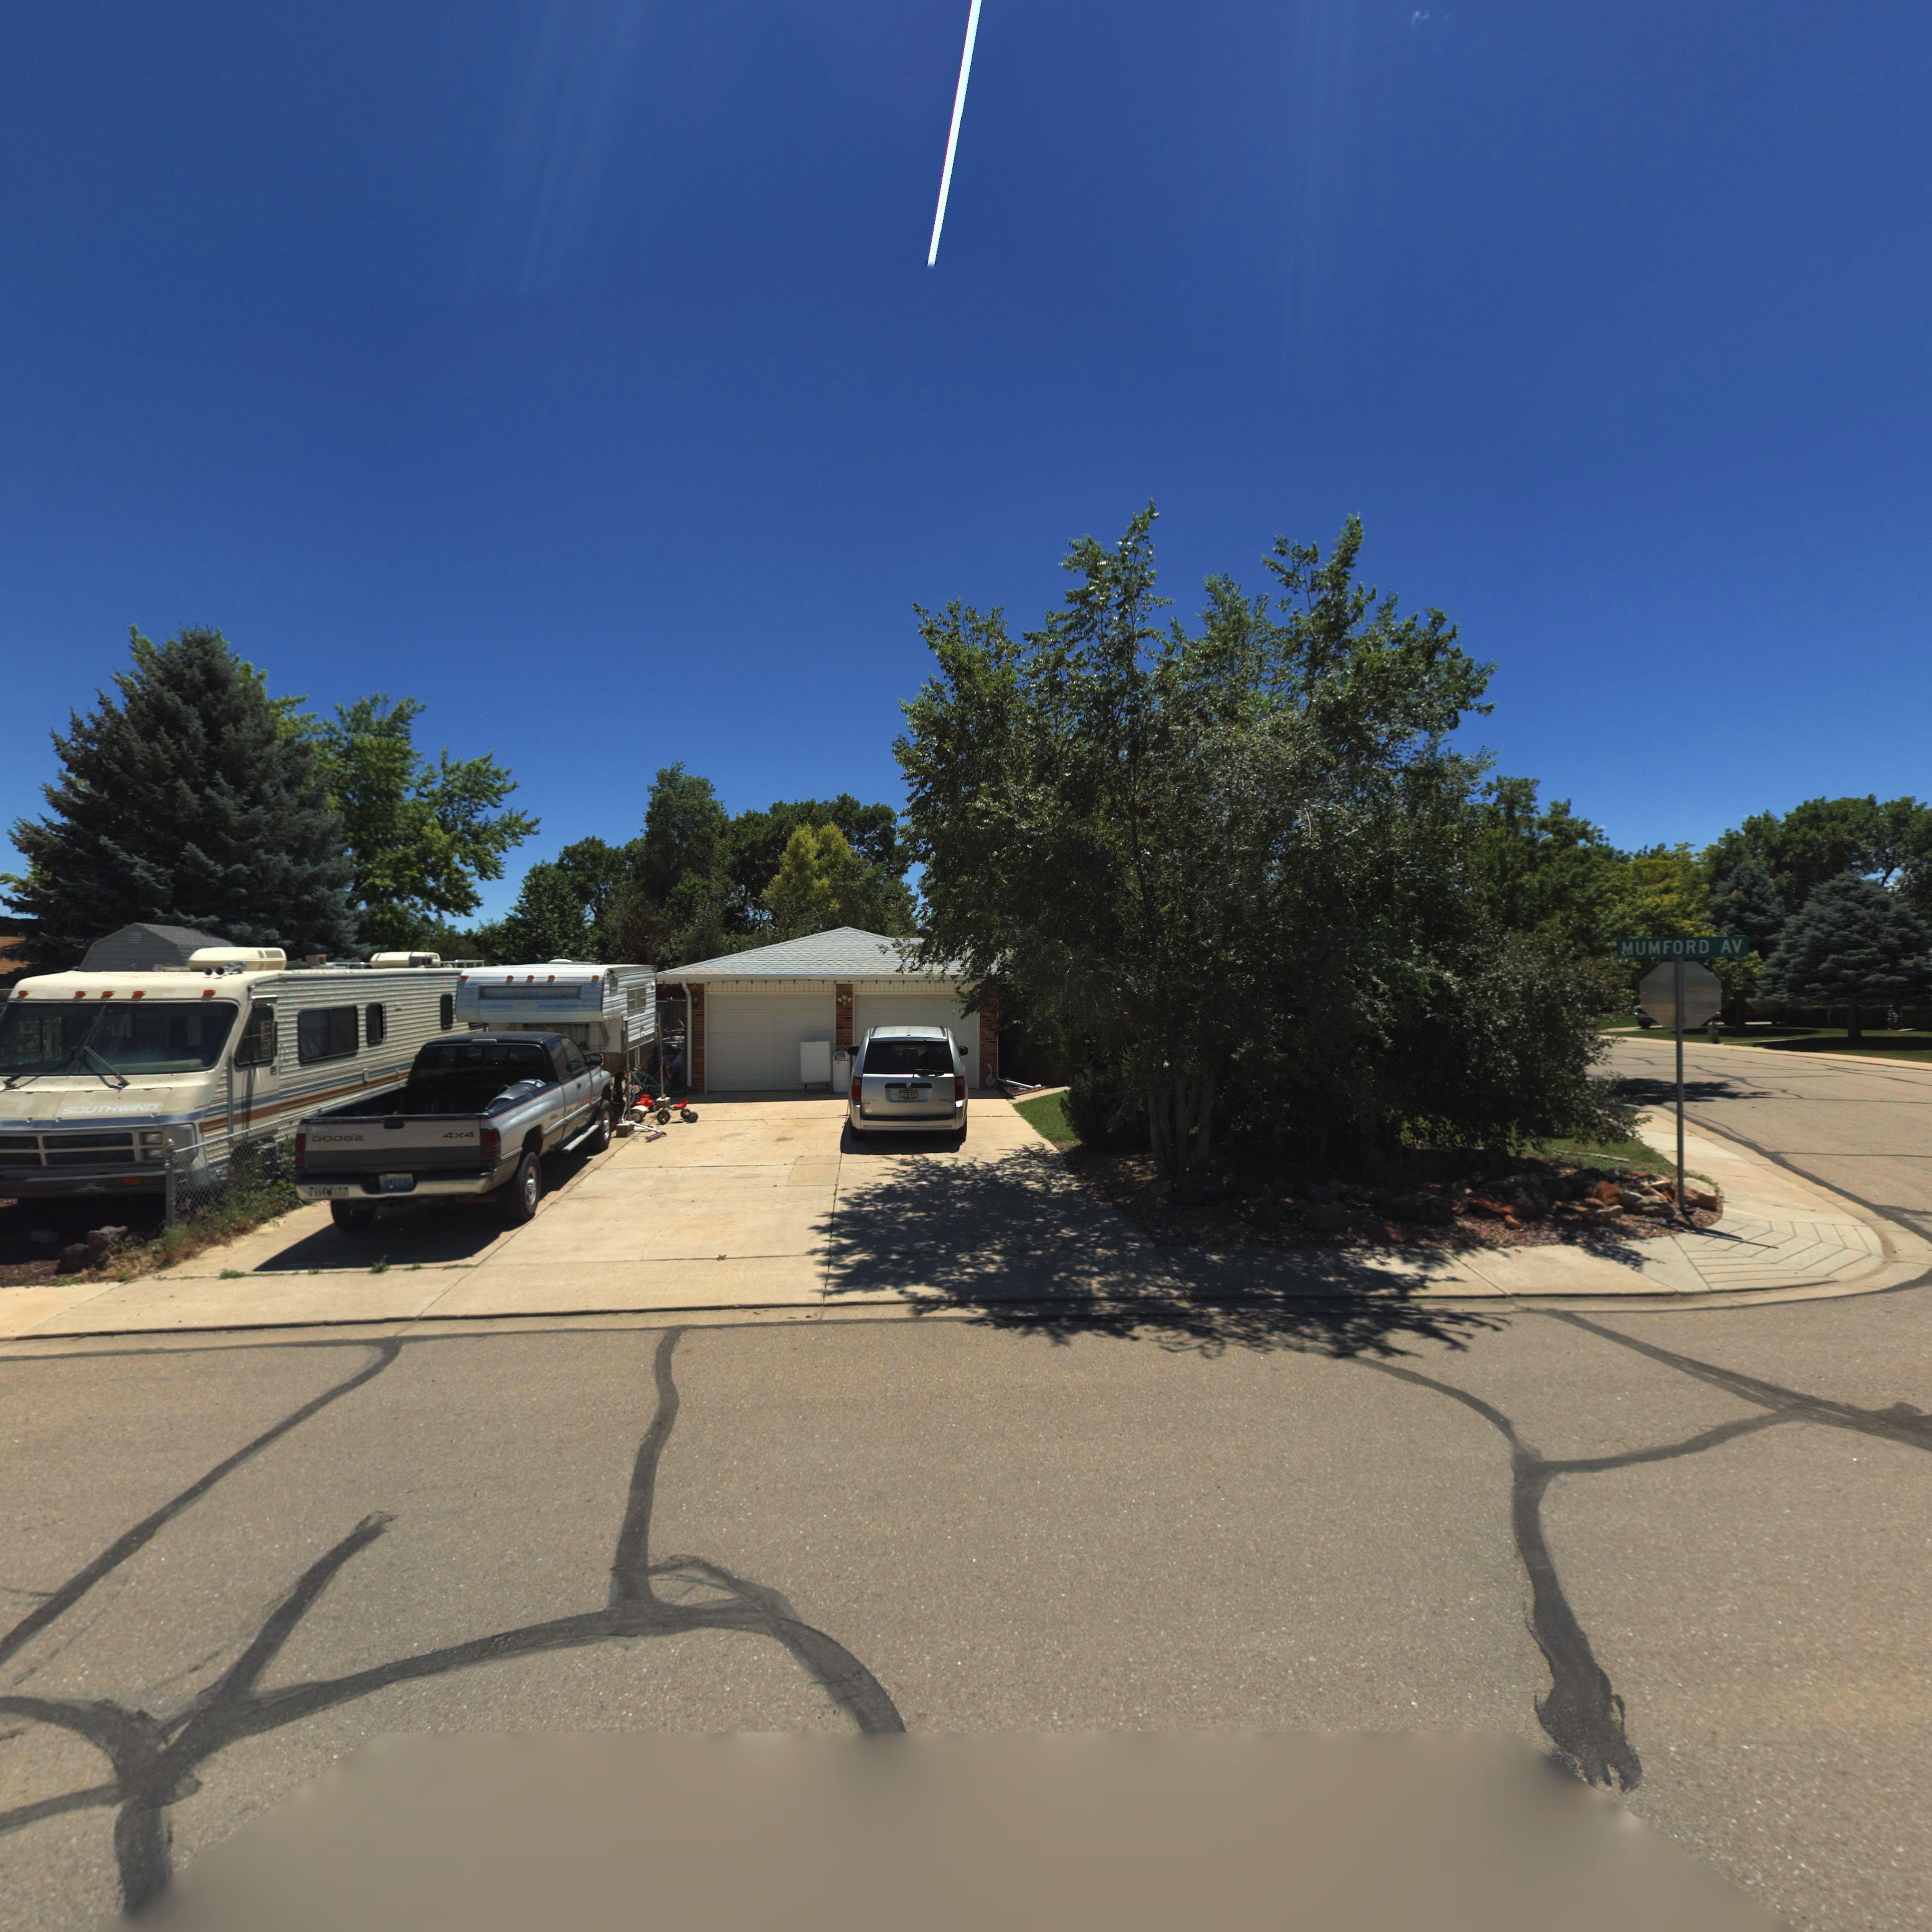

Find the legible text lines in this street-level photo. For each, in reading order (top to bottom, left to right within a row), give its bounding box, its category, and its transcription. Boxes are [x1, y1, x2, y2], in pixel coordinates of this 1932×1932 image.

[1621, 938, 1743, 955] StreetName: MUMFORD AV